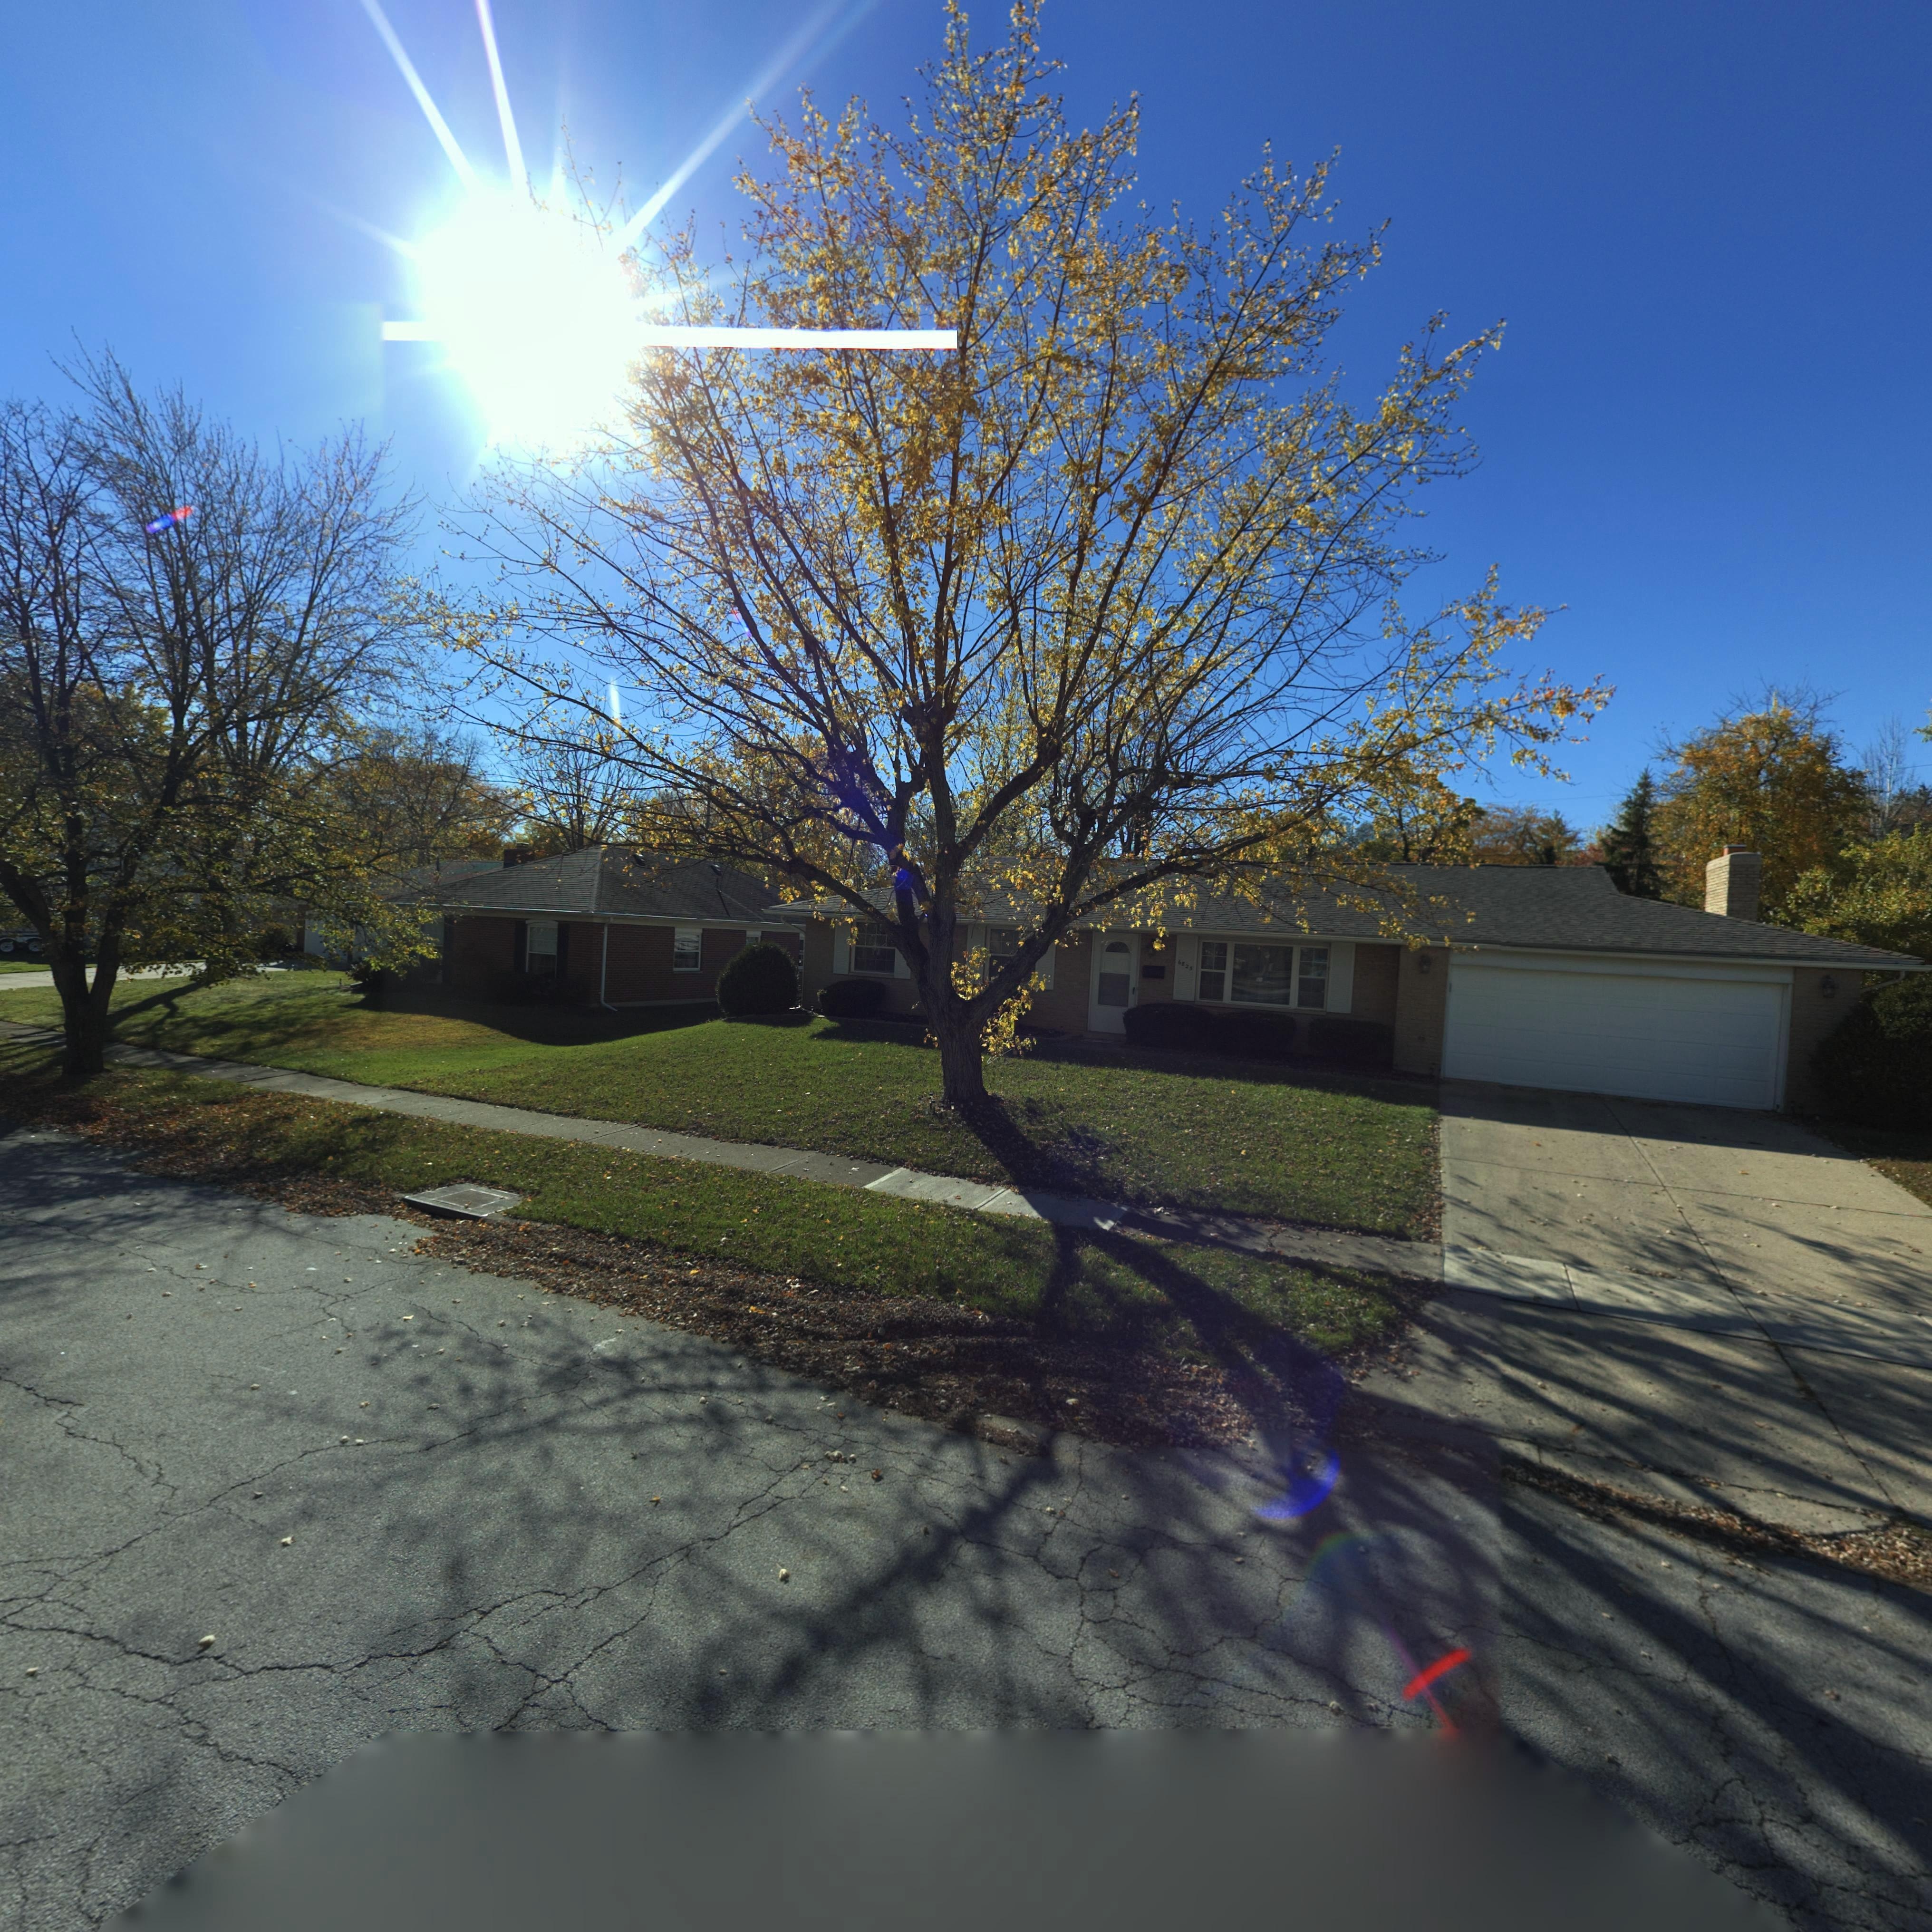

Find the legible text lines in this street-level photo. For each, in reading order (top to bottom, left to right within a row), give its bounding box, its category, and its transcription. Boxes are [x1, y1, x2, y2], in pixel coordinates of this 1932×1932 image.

[1178, 958, 1193, 971] StreetNumber: 6825